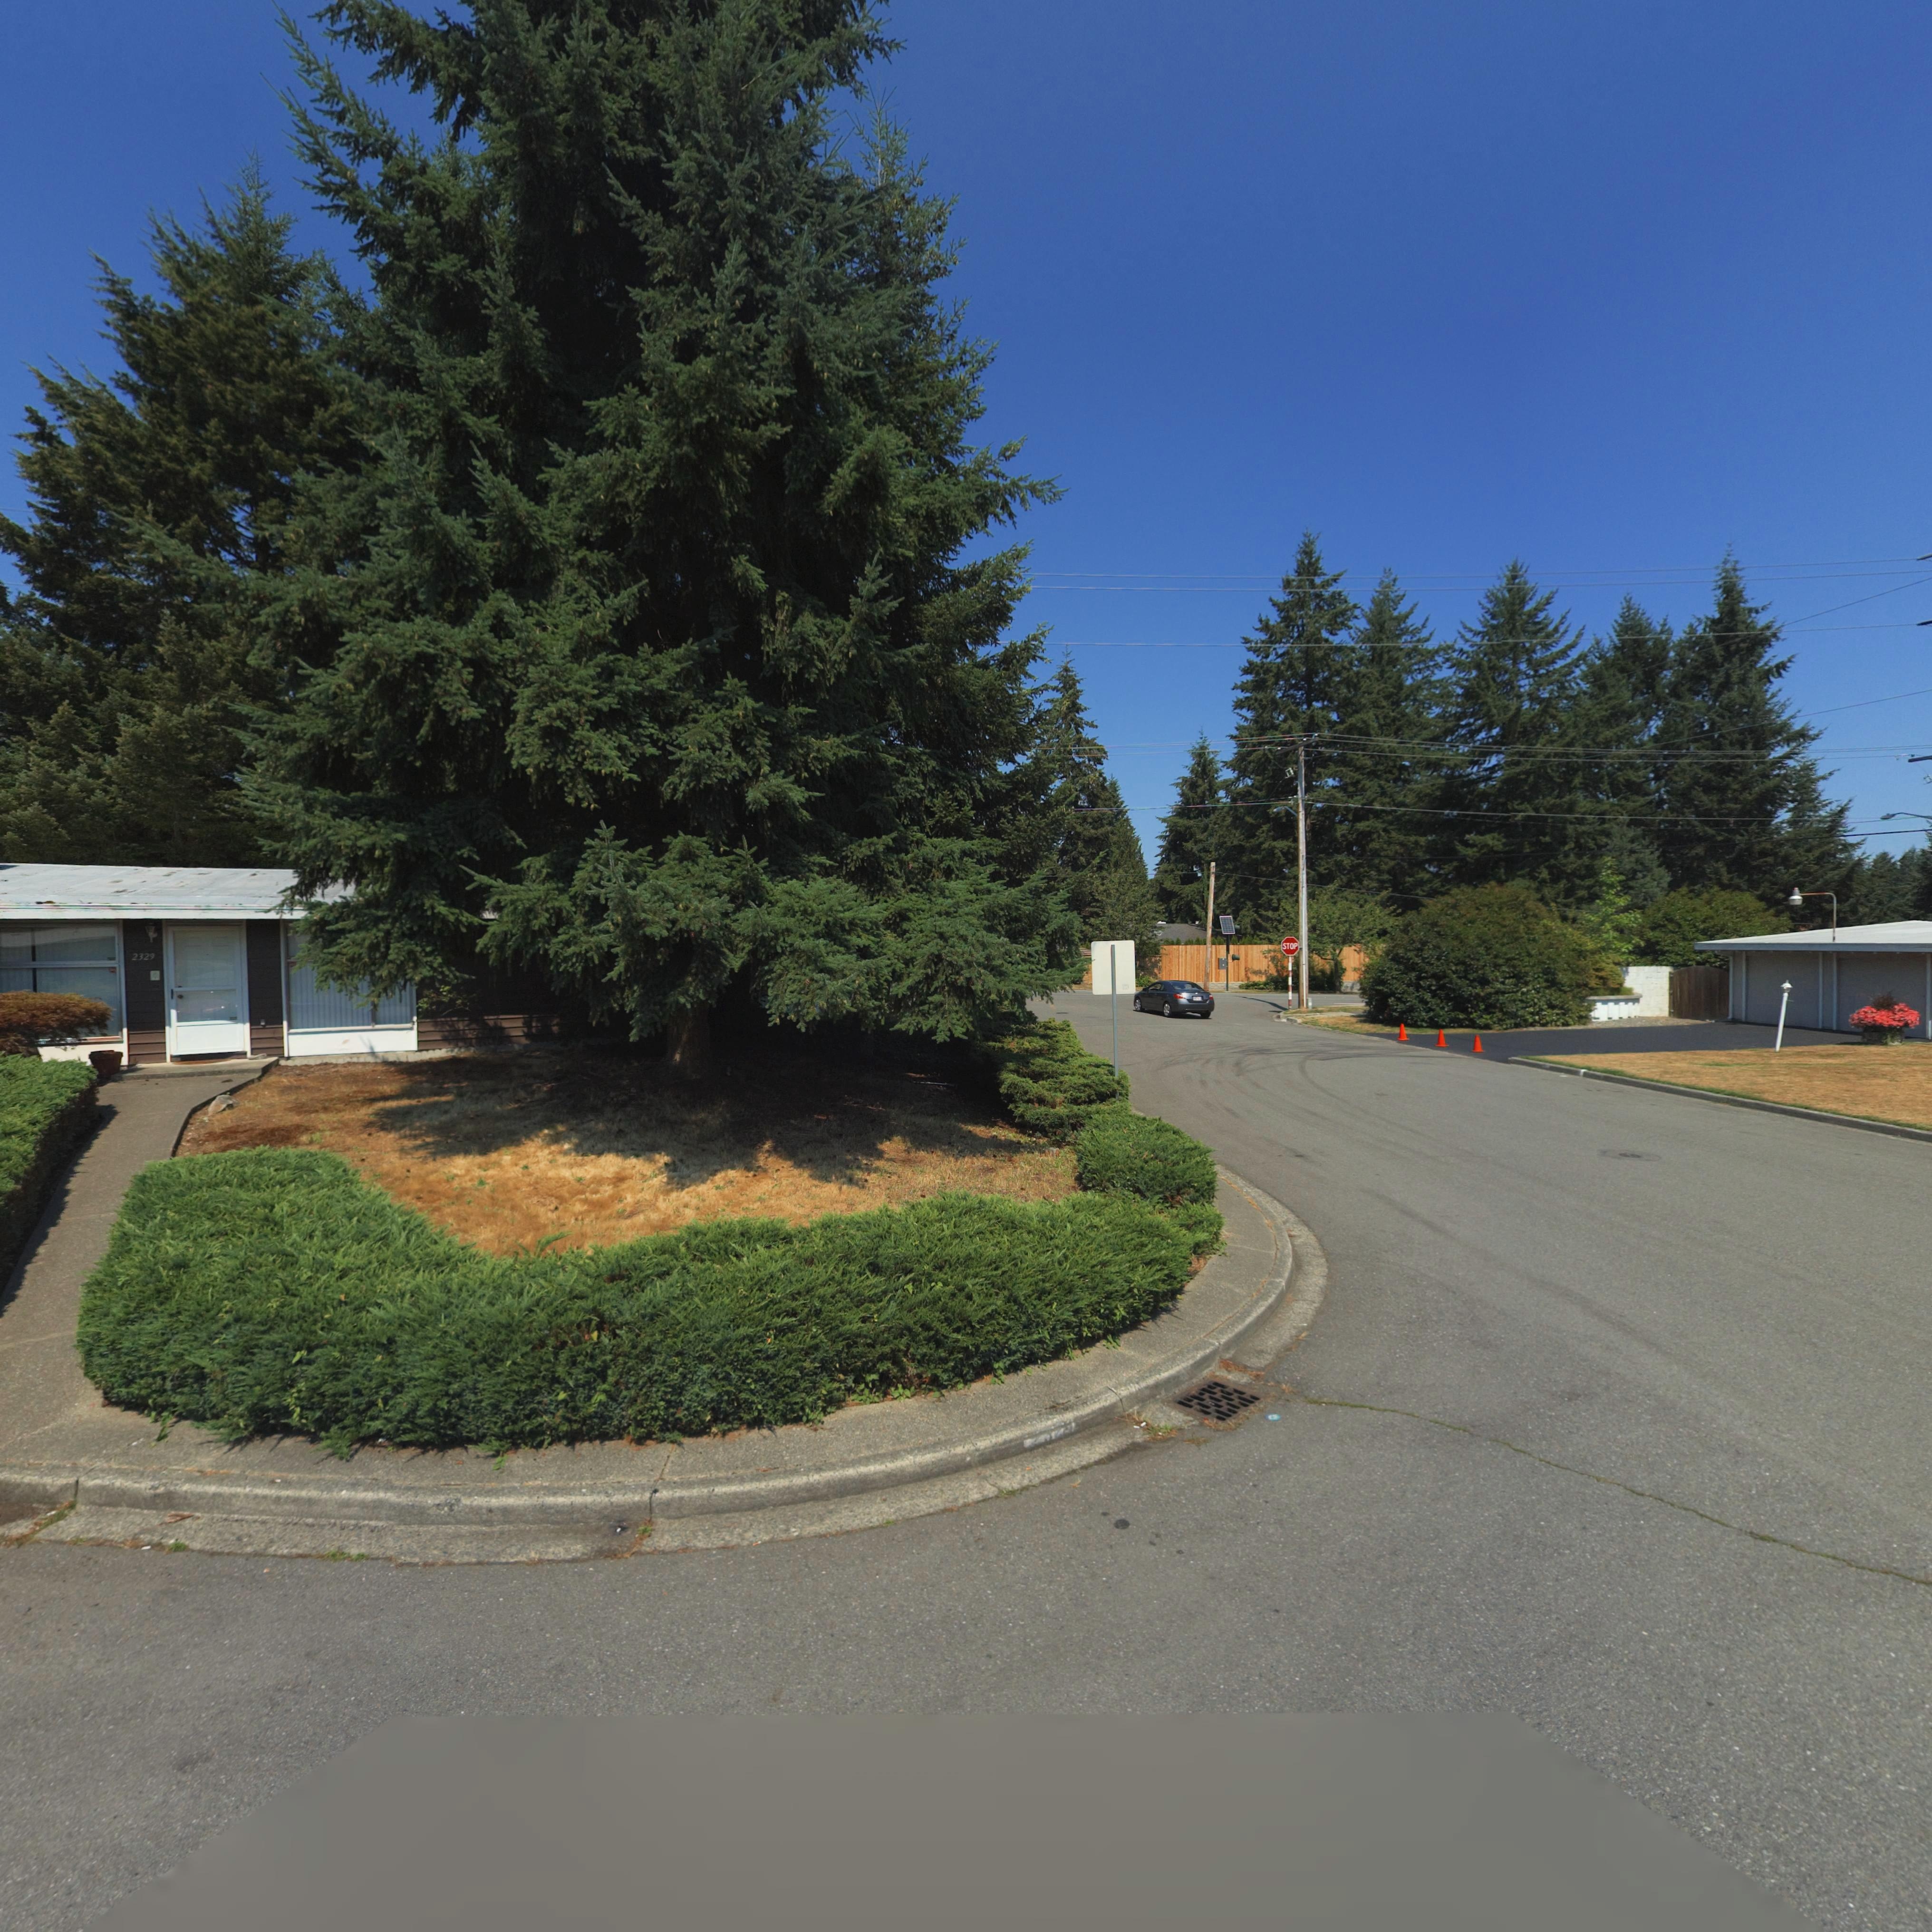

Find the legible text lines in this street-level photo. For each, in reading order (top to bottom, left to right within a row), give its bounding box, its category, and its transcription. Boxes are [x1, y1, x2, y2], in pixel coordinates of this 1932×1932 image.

[131, 953, 155, 961] StreetNumber: 2329